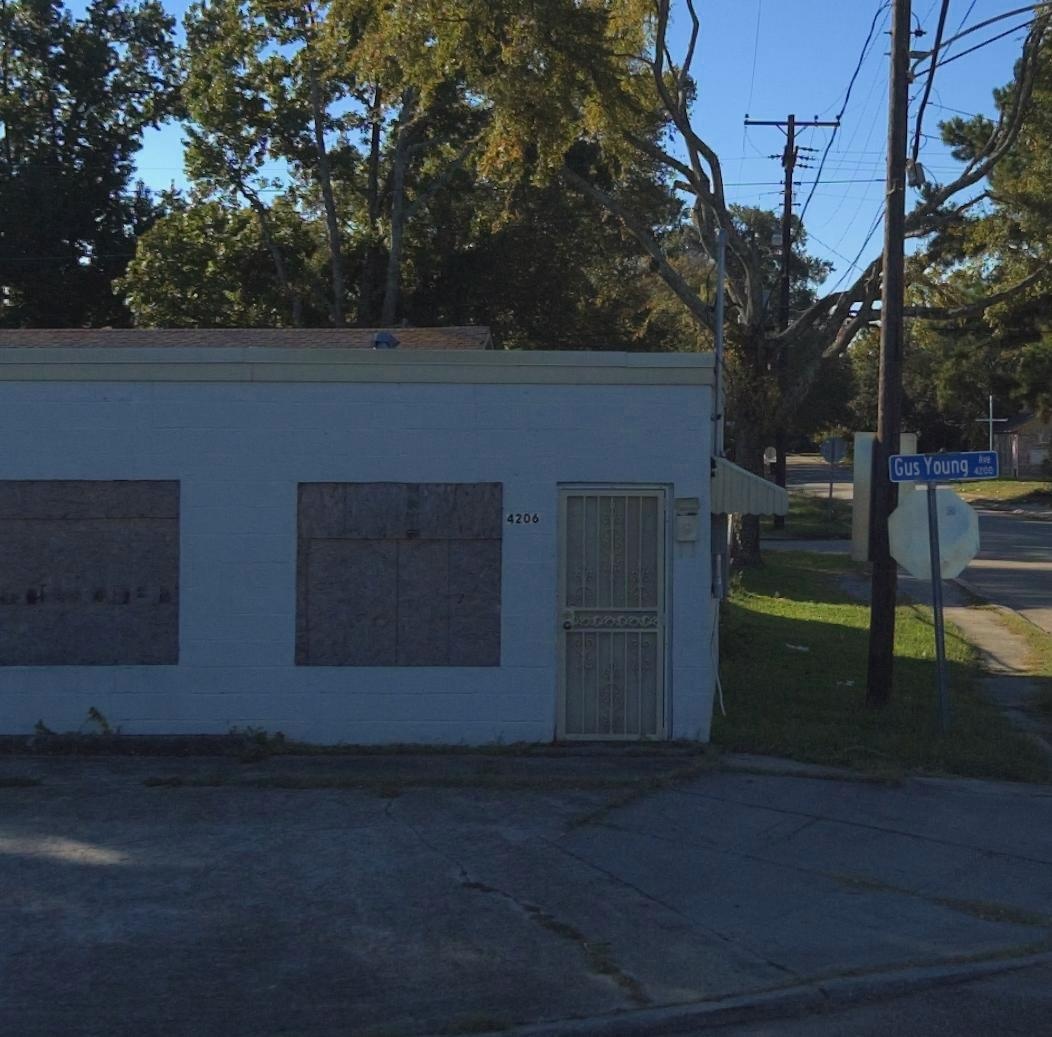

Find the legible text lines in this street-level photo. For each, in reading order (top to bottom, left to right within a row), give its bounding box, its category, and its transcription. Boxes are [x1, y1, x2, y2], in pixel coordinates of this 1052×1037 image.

[891, 452, 993, 480] StreetName: Gus Young Ave
[971, 464, 996, 477] StreetNumber: 4200
[505, 511, 541, 526] StreetNumber: 4206